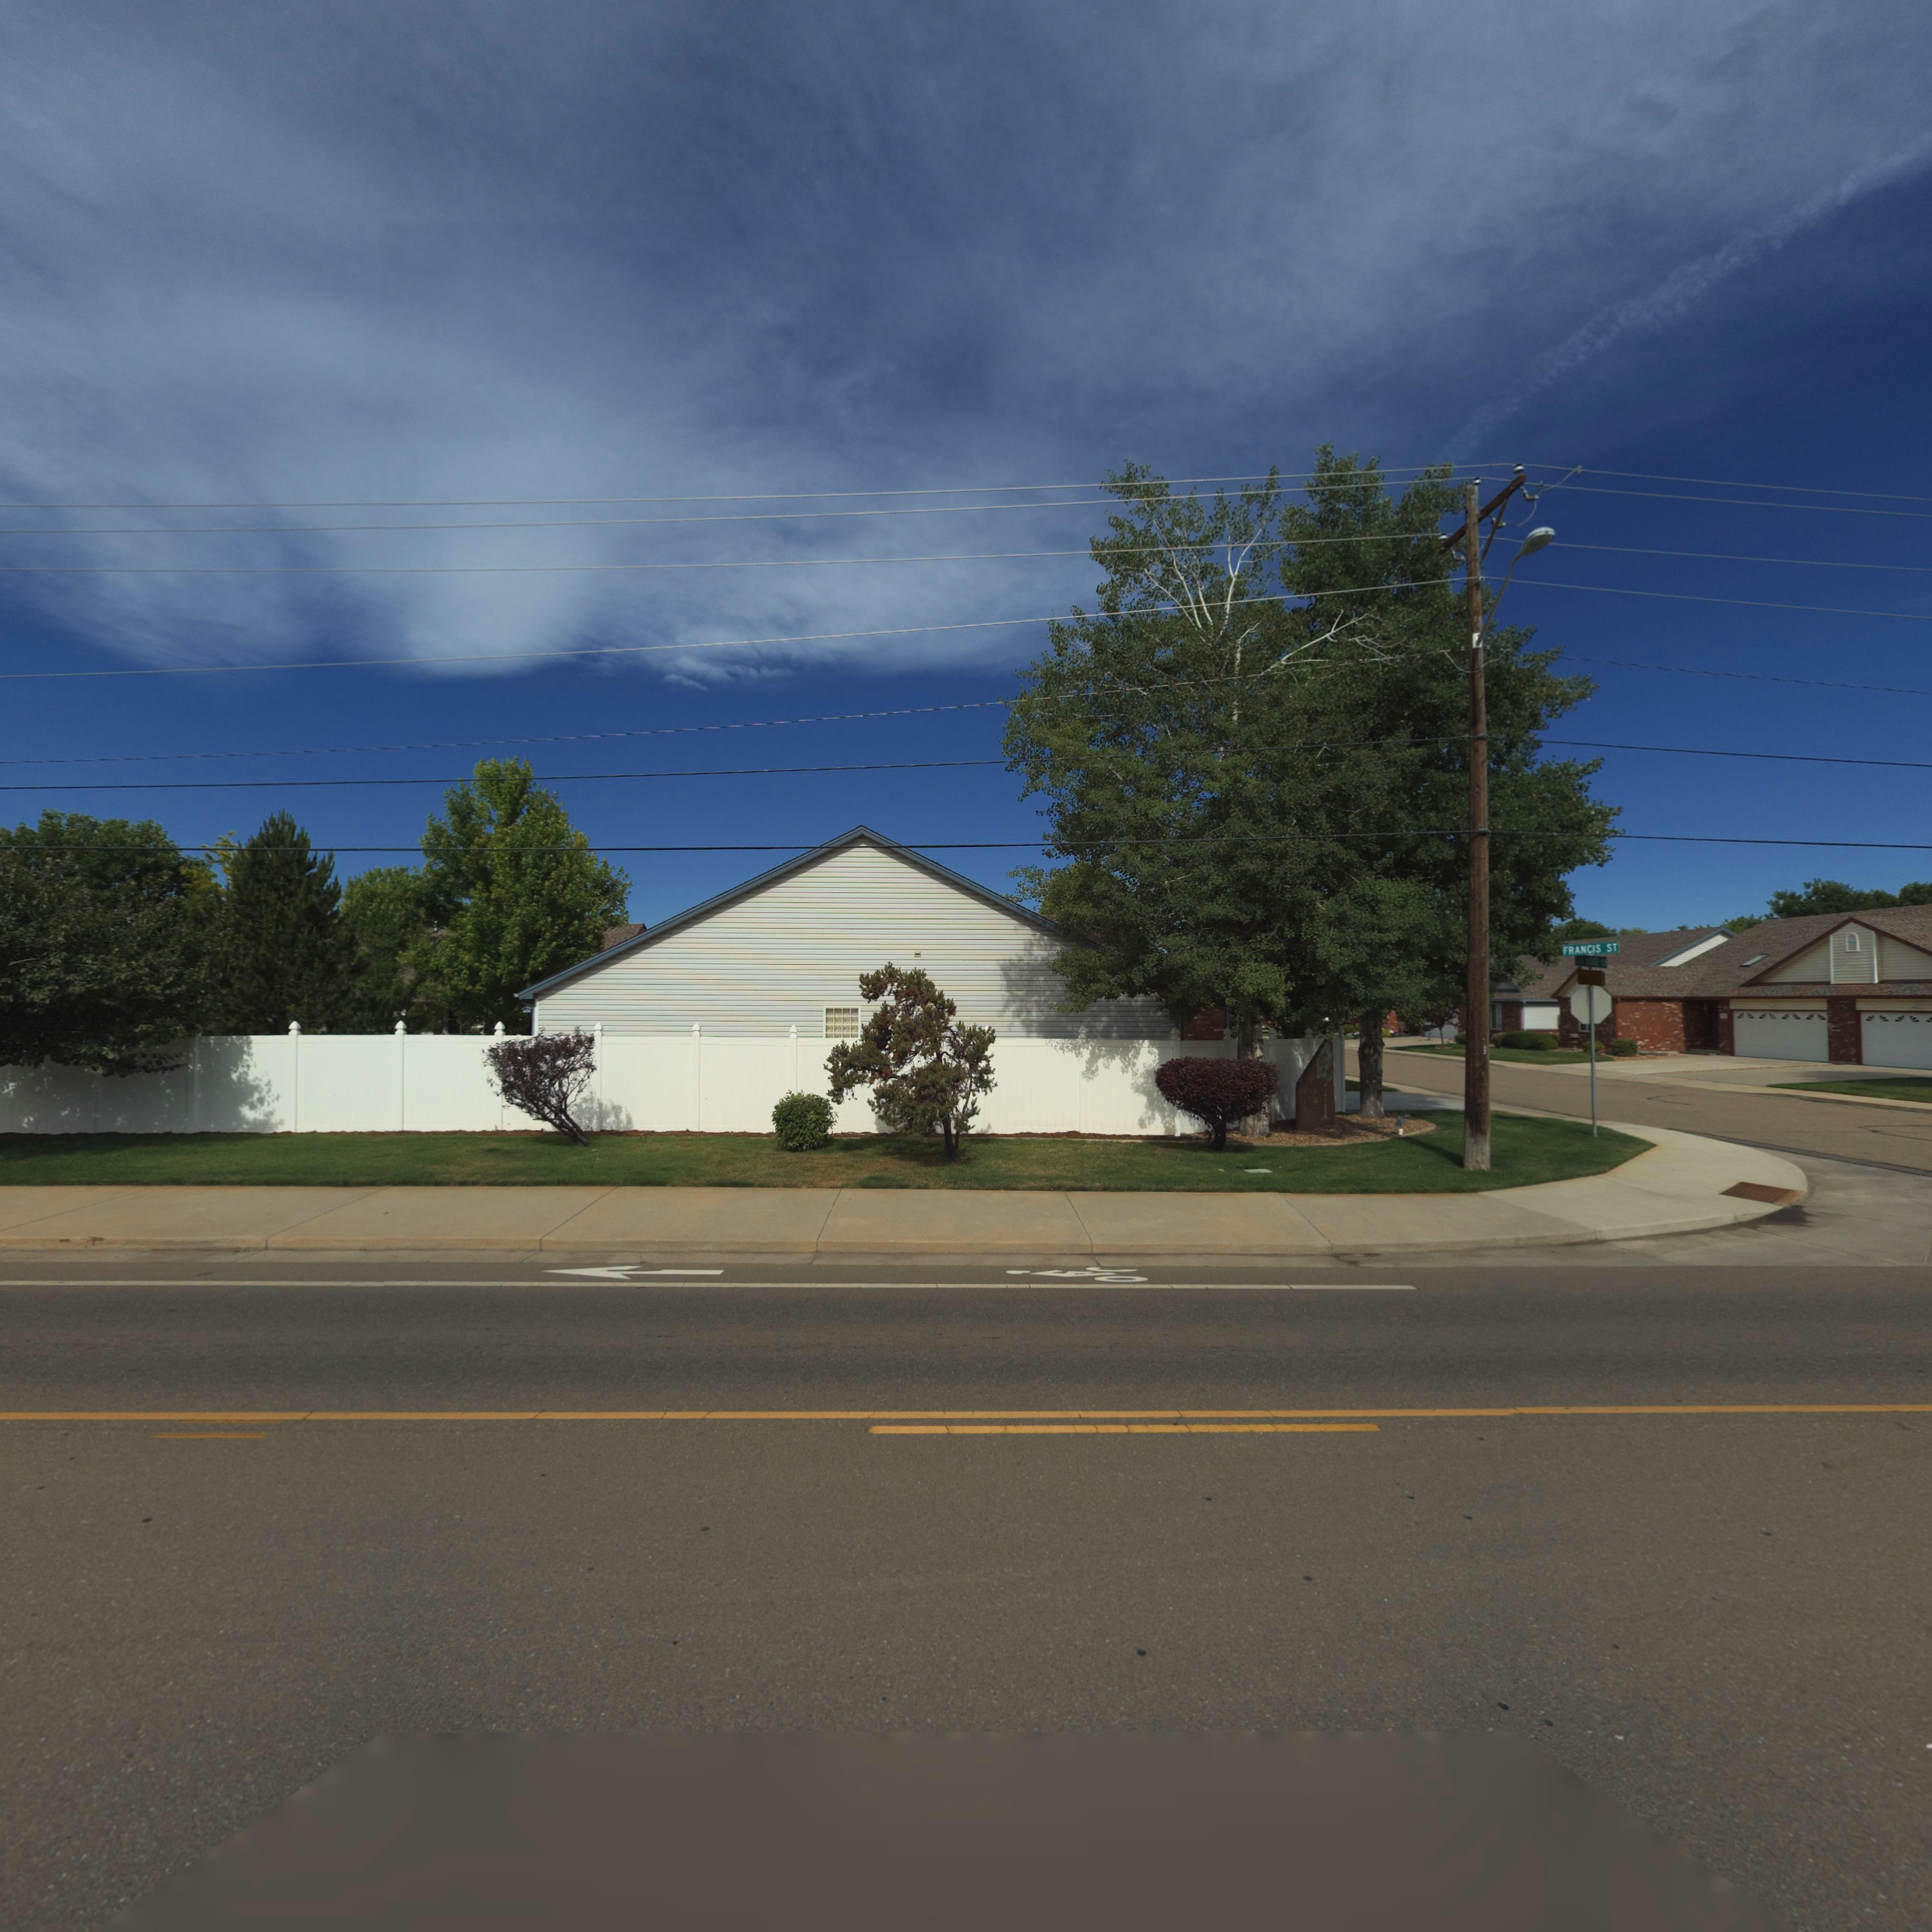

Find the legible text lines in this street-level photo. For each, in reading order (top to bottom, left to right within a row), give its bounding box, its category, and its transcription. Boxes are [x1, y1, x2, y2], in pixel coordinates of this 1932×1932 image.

[1562, 942, 1618, 956] StreetName: FRANCIS ST
[1575, 956, 1607, 967] StreetName: *** ****E L*